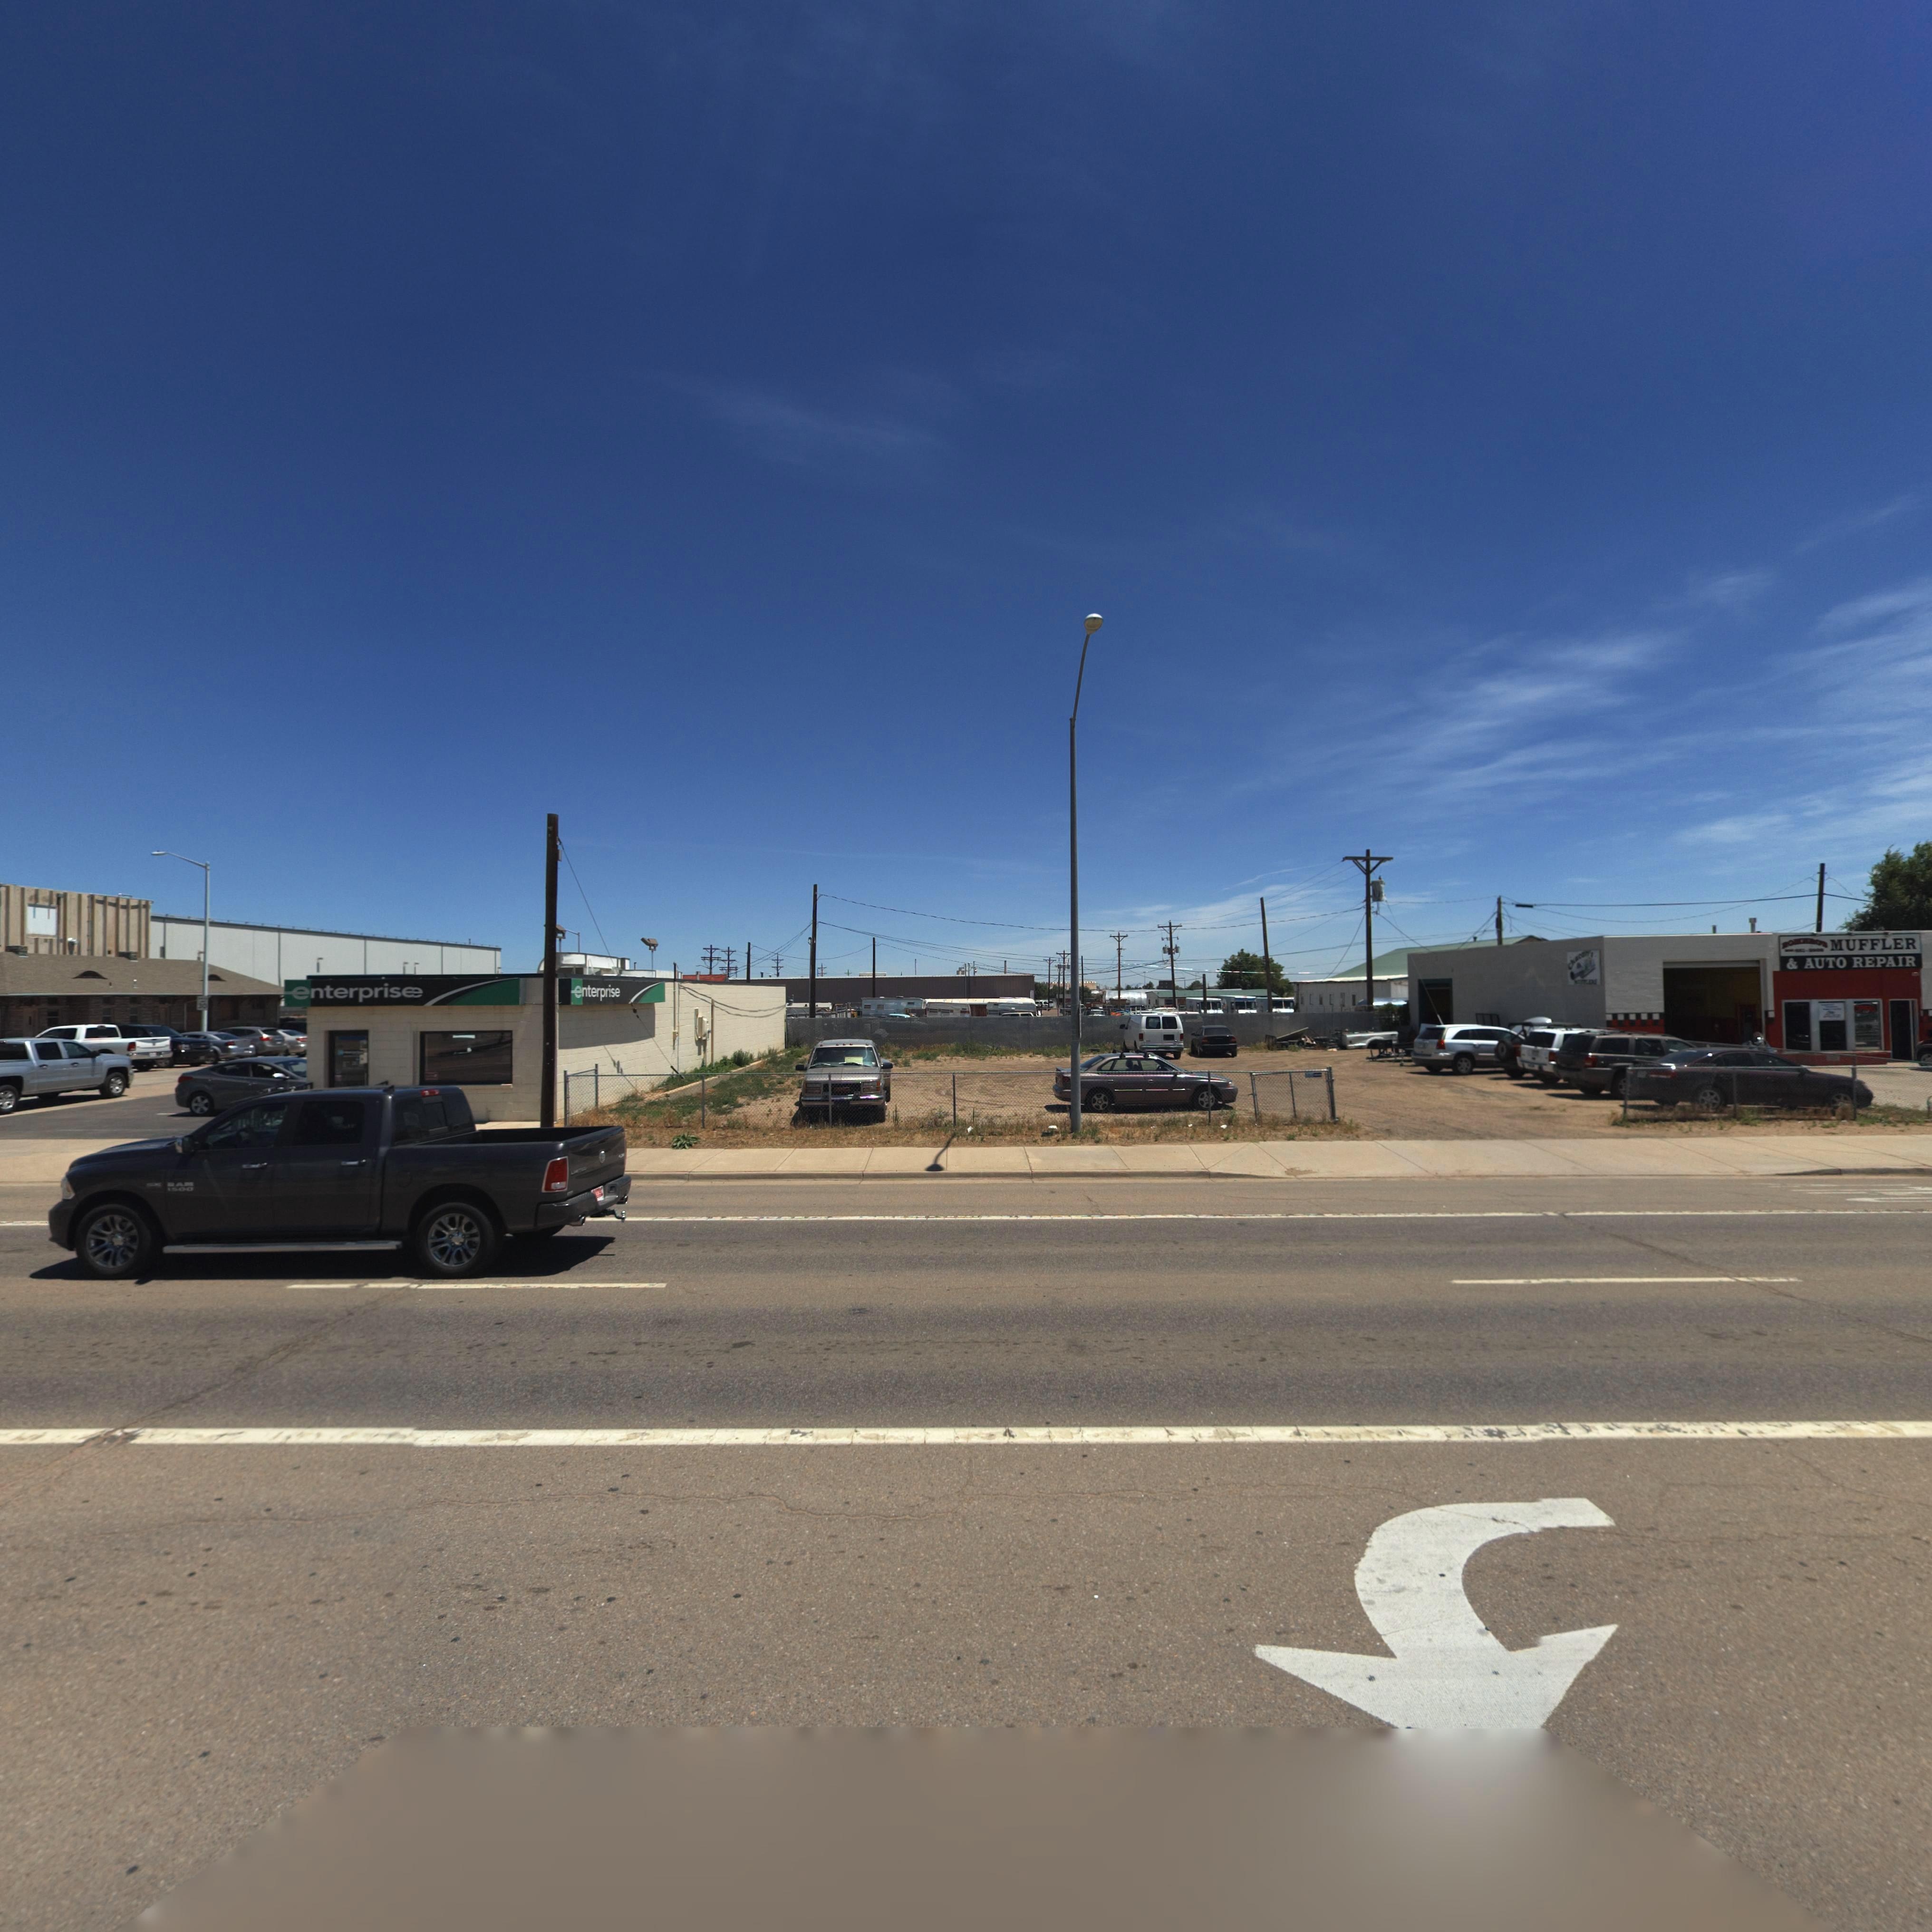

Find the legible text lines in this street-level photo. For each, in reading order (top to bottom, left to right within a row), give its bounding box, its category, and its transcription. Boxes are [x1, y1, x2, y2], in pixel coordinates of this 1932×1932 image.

[1781, 937, 1828, 950] BusinessName: ROM***OS
[1829, 937, 1919, 951] BusinessName: MUFFLER
[1566, 949, 1594, 970] BusinessName: C*****
[1786, 956, 1916, 969] BusinessName: & AUTO REPAIR
[287, 982, 423, 1002] BusinessName: enterprise*
[571, 984, 620, 1002] BusinessName: enterprise